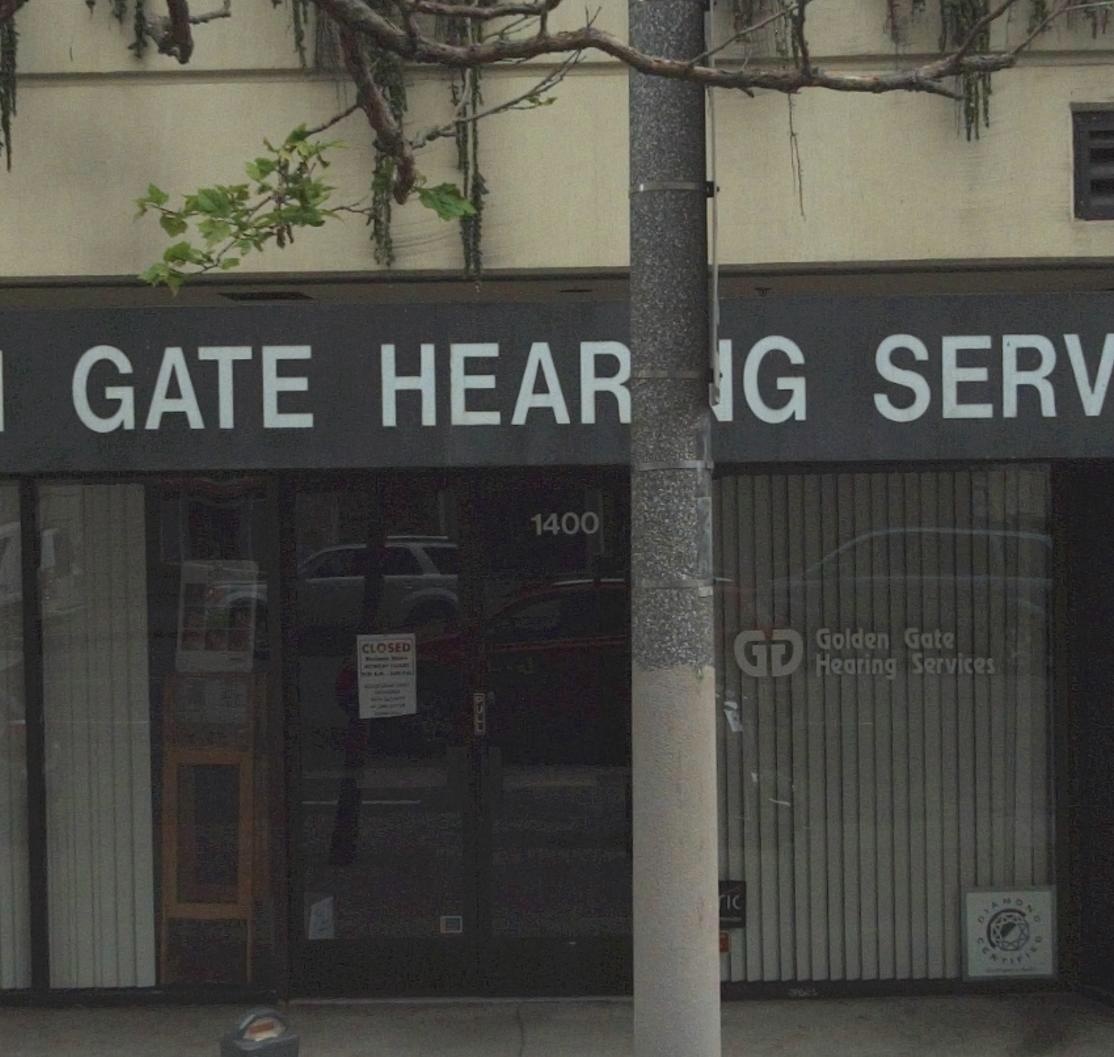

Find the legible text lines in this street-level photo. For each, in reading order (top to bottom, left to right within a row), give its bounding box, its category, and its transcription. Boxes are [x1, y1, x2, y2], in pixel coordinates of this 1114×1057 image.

[60, 328, 1114, 437] BusinessName: GATE HEAR**G SERV
[531, 510, 600, 538] StreetNumber: 1400
[361, 641, 411, 656] None: CLOSED
[814, 624, 954, 650] BusinessName: Golden Gate
[812, 651, 996, 679] BusinessName: Hearing Services
[472, 693, 483, 735] None: PULL
[725, 893, 743, 911] None: IC
[974, 896, 1042, 925] BusinessName: DIAMOND
[976, 935, 1045, 967] None: CERTIFIED